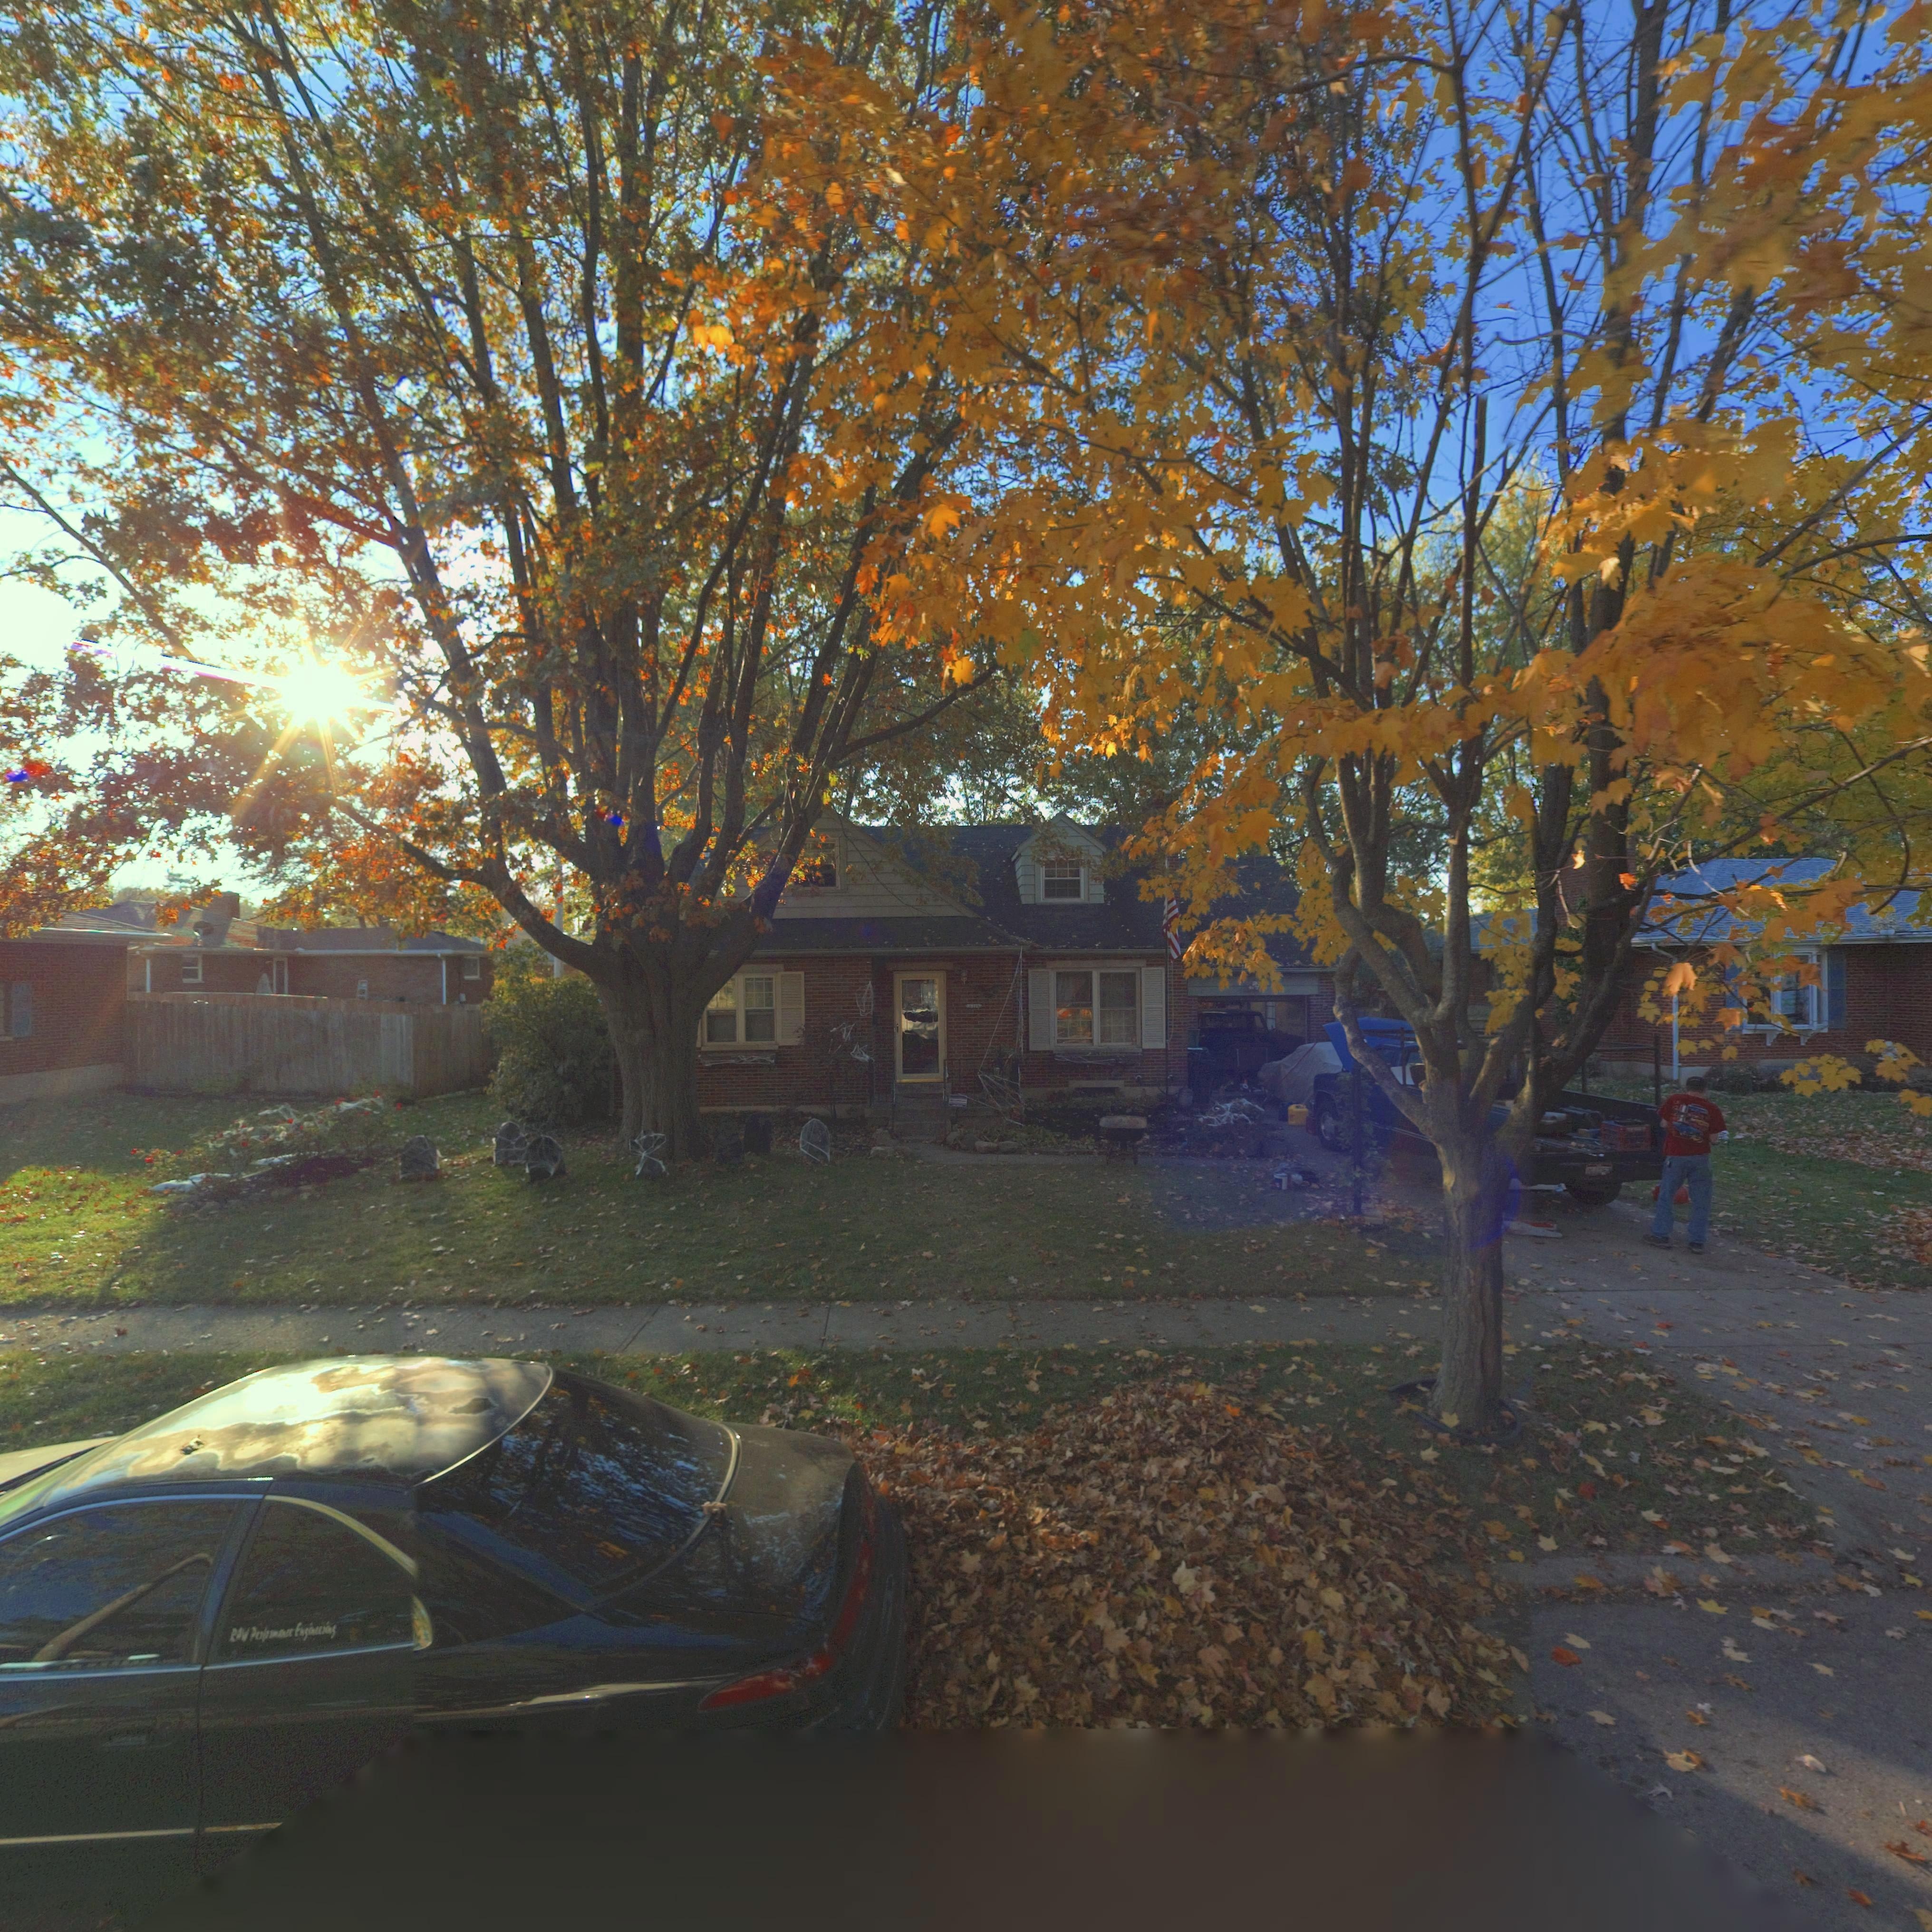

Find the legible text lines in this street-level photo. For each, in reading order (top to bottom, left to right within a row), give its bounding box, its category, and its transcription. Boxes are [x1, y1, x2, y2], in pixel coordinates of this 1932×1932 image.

[967, 1004, 979, 1009] StreetNumber: 3719